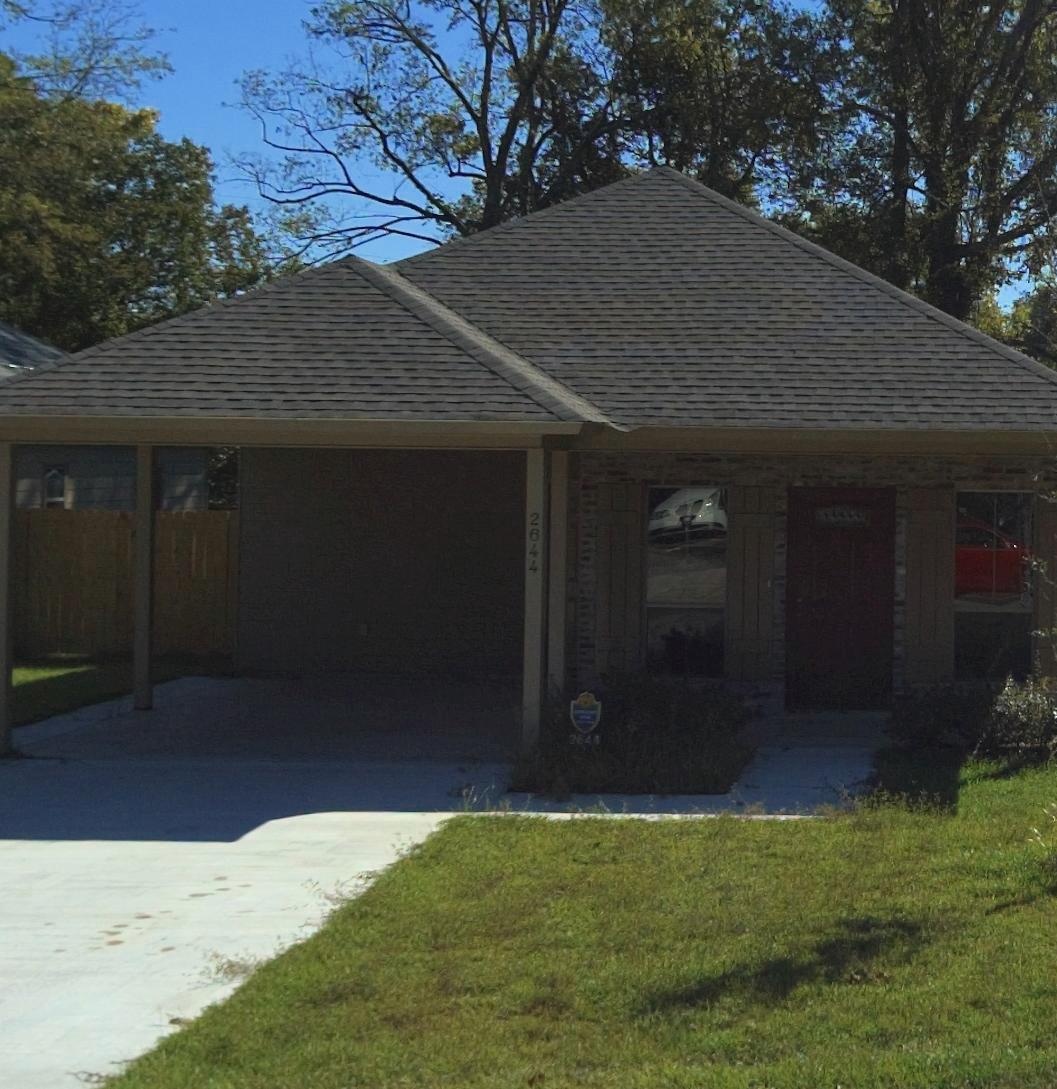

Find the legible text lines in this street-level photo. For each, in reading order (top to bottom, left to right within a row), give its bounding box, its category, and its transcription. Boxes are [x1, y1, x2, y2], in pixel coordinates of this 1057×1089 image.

[525, 511, 543, 575] StreetNumber: 2644
[567, 732, 602, 747] StreetNumber: 2644